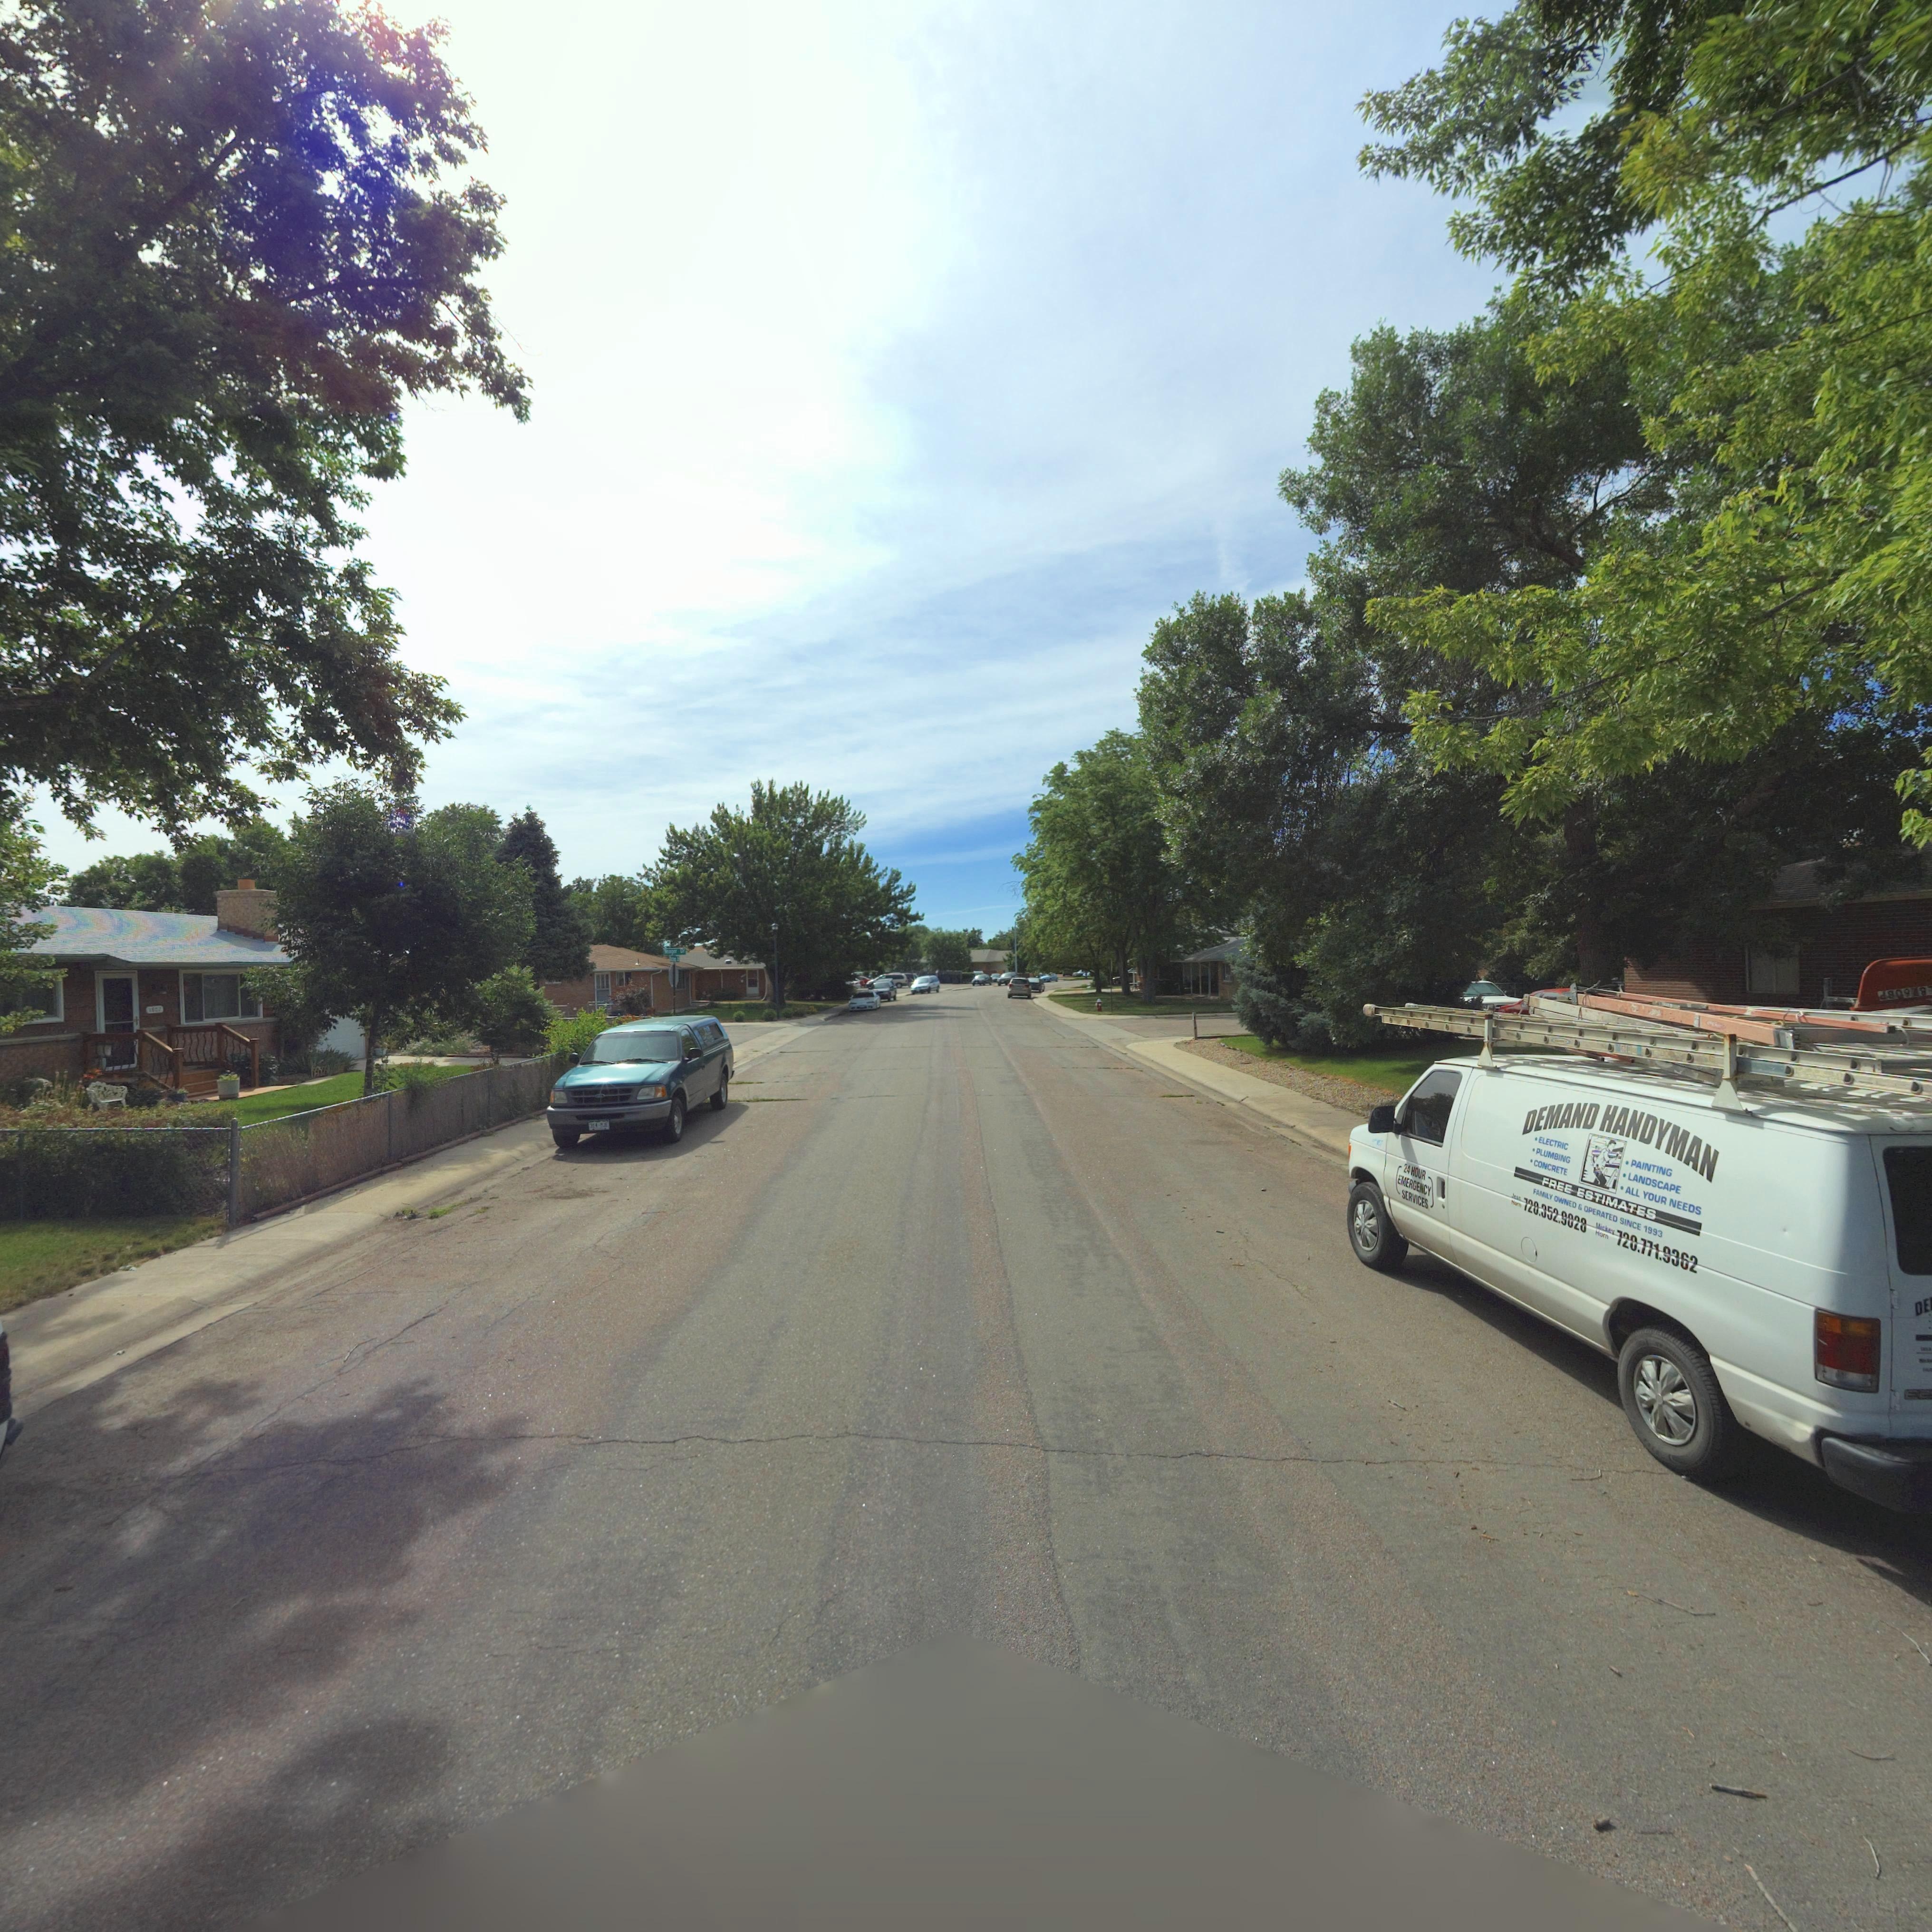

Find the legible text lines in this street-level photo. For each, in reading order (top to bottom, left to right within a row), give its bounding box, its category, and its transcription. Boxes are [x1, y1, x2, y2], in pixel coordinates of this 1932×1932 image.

[663, 948, 686, 956] StreetName: *ea*e* Dr
[669, 956, 679, 961] StreetName: ******s D*
[148, 1006, 162, 1013] StreetNumber: 1**2